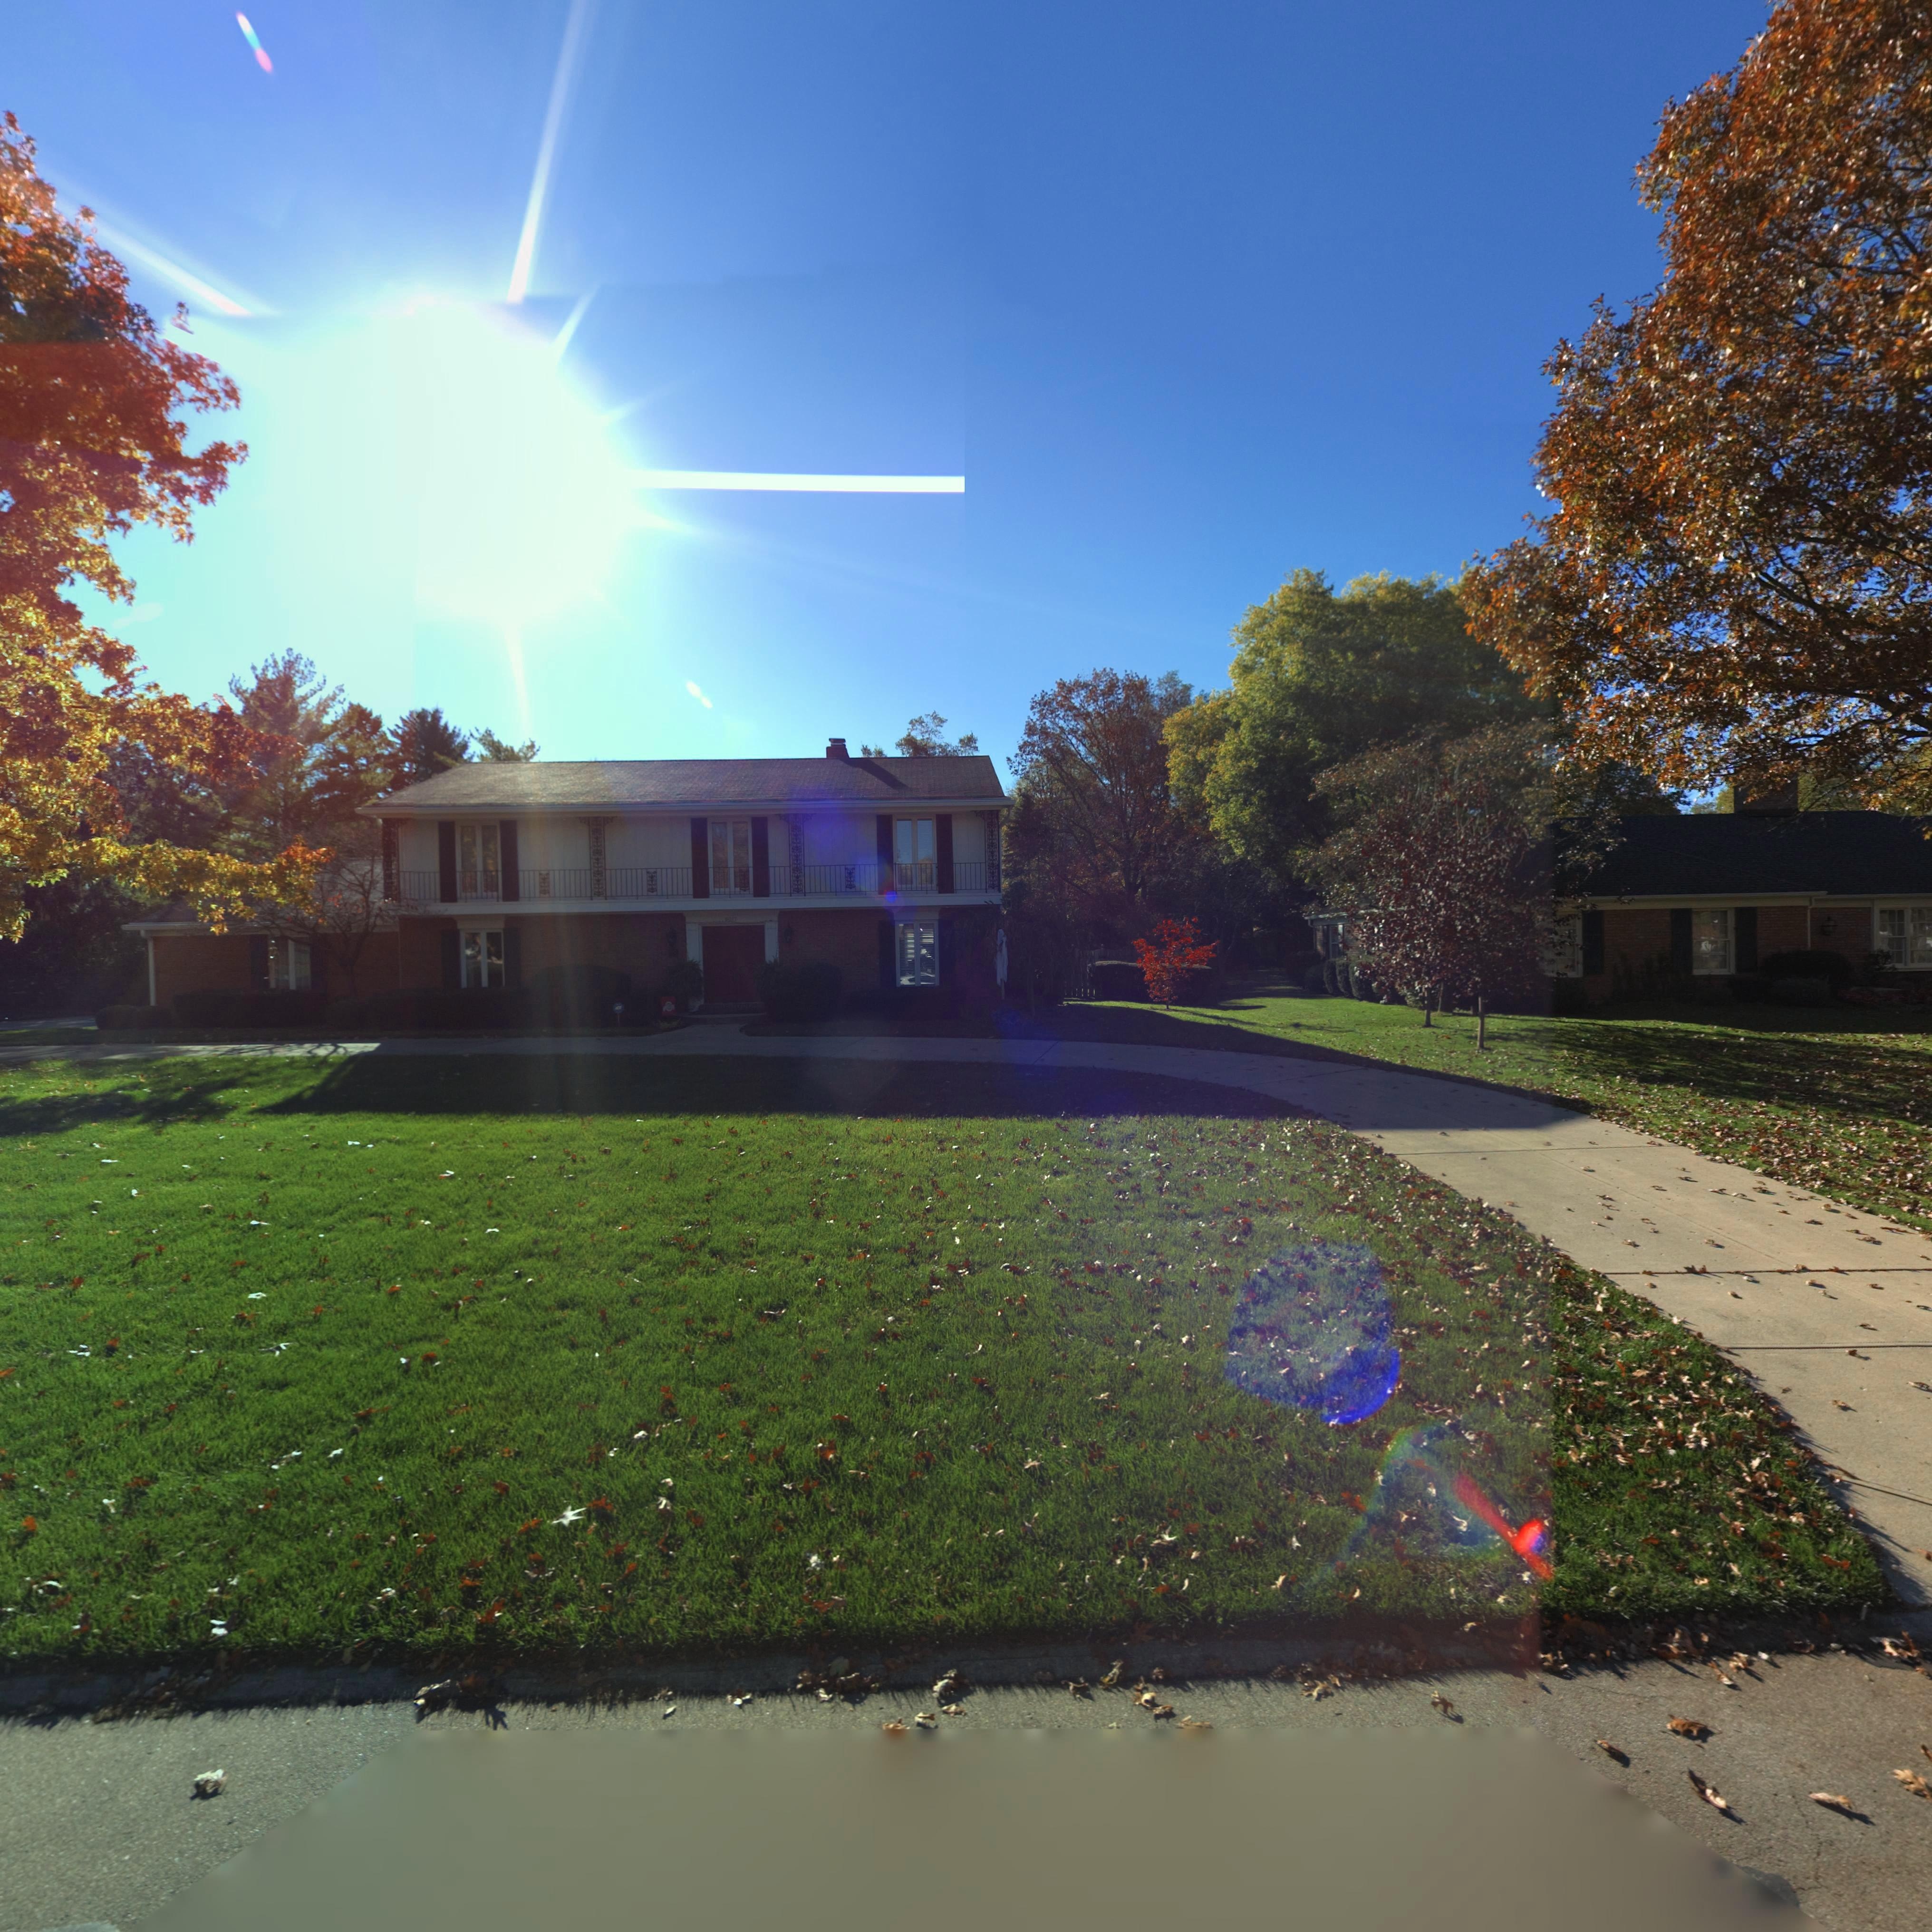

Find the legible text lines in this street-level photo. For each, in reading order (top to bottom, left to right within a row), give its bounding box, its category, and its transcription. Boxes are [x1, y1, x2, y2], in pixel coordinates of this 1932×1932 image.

[724, 916, 737, 923] StreetNumber: **1*